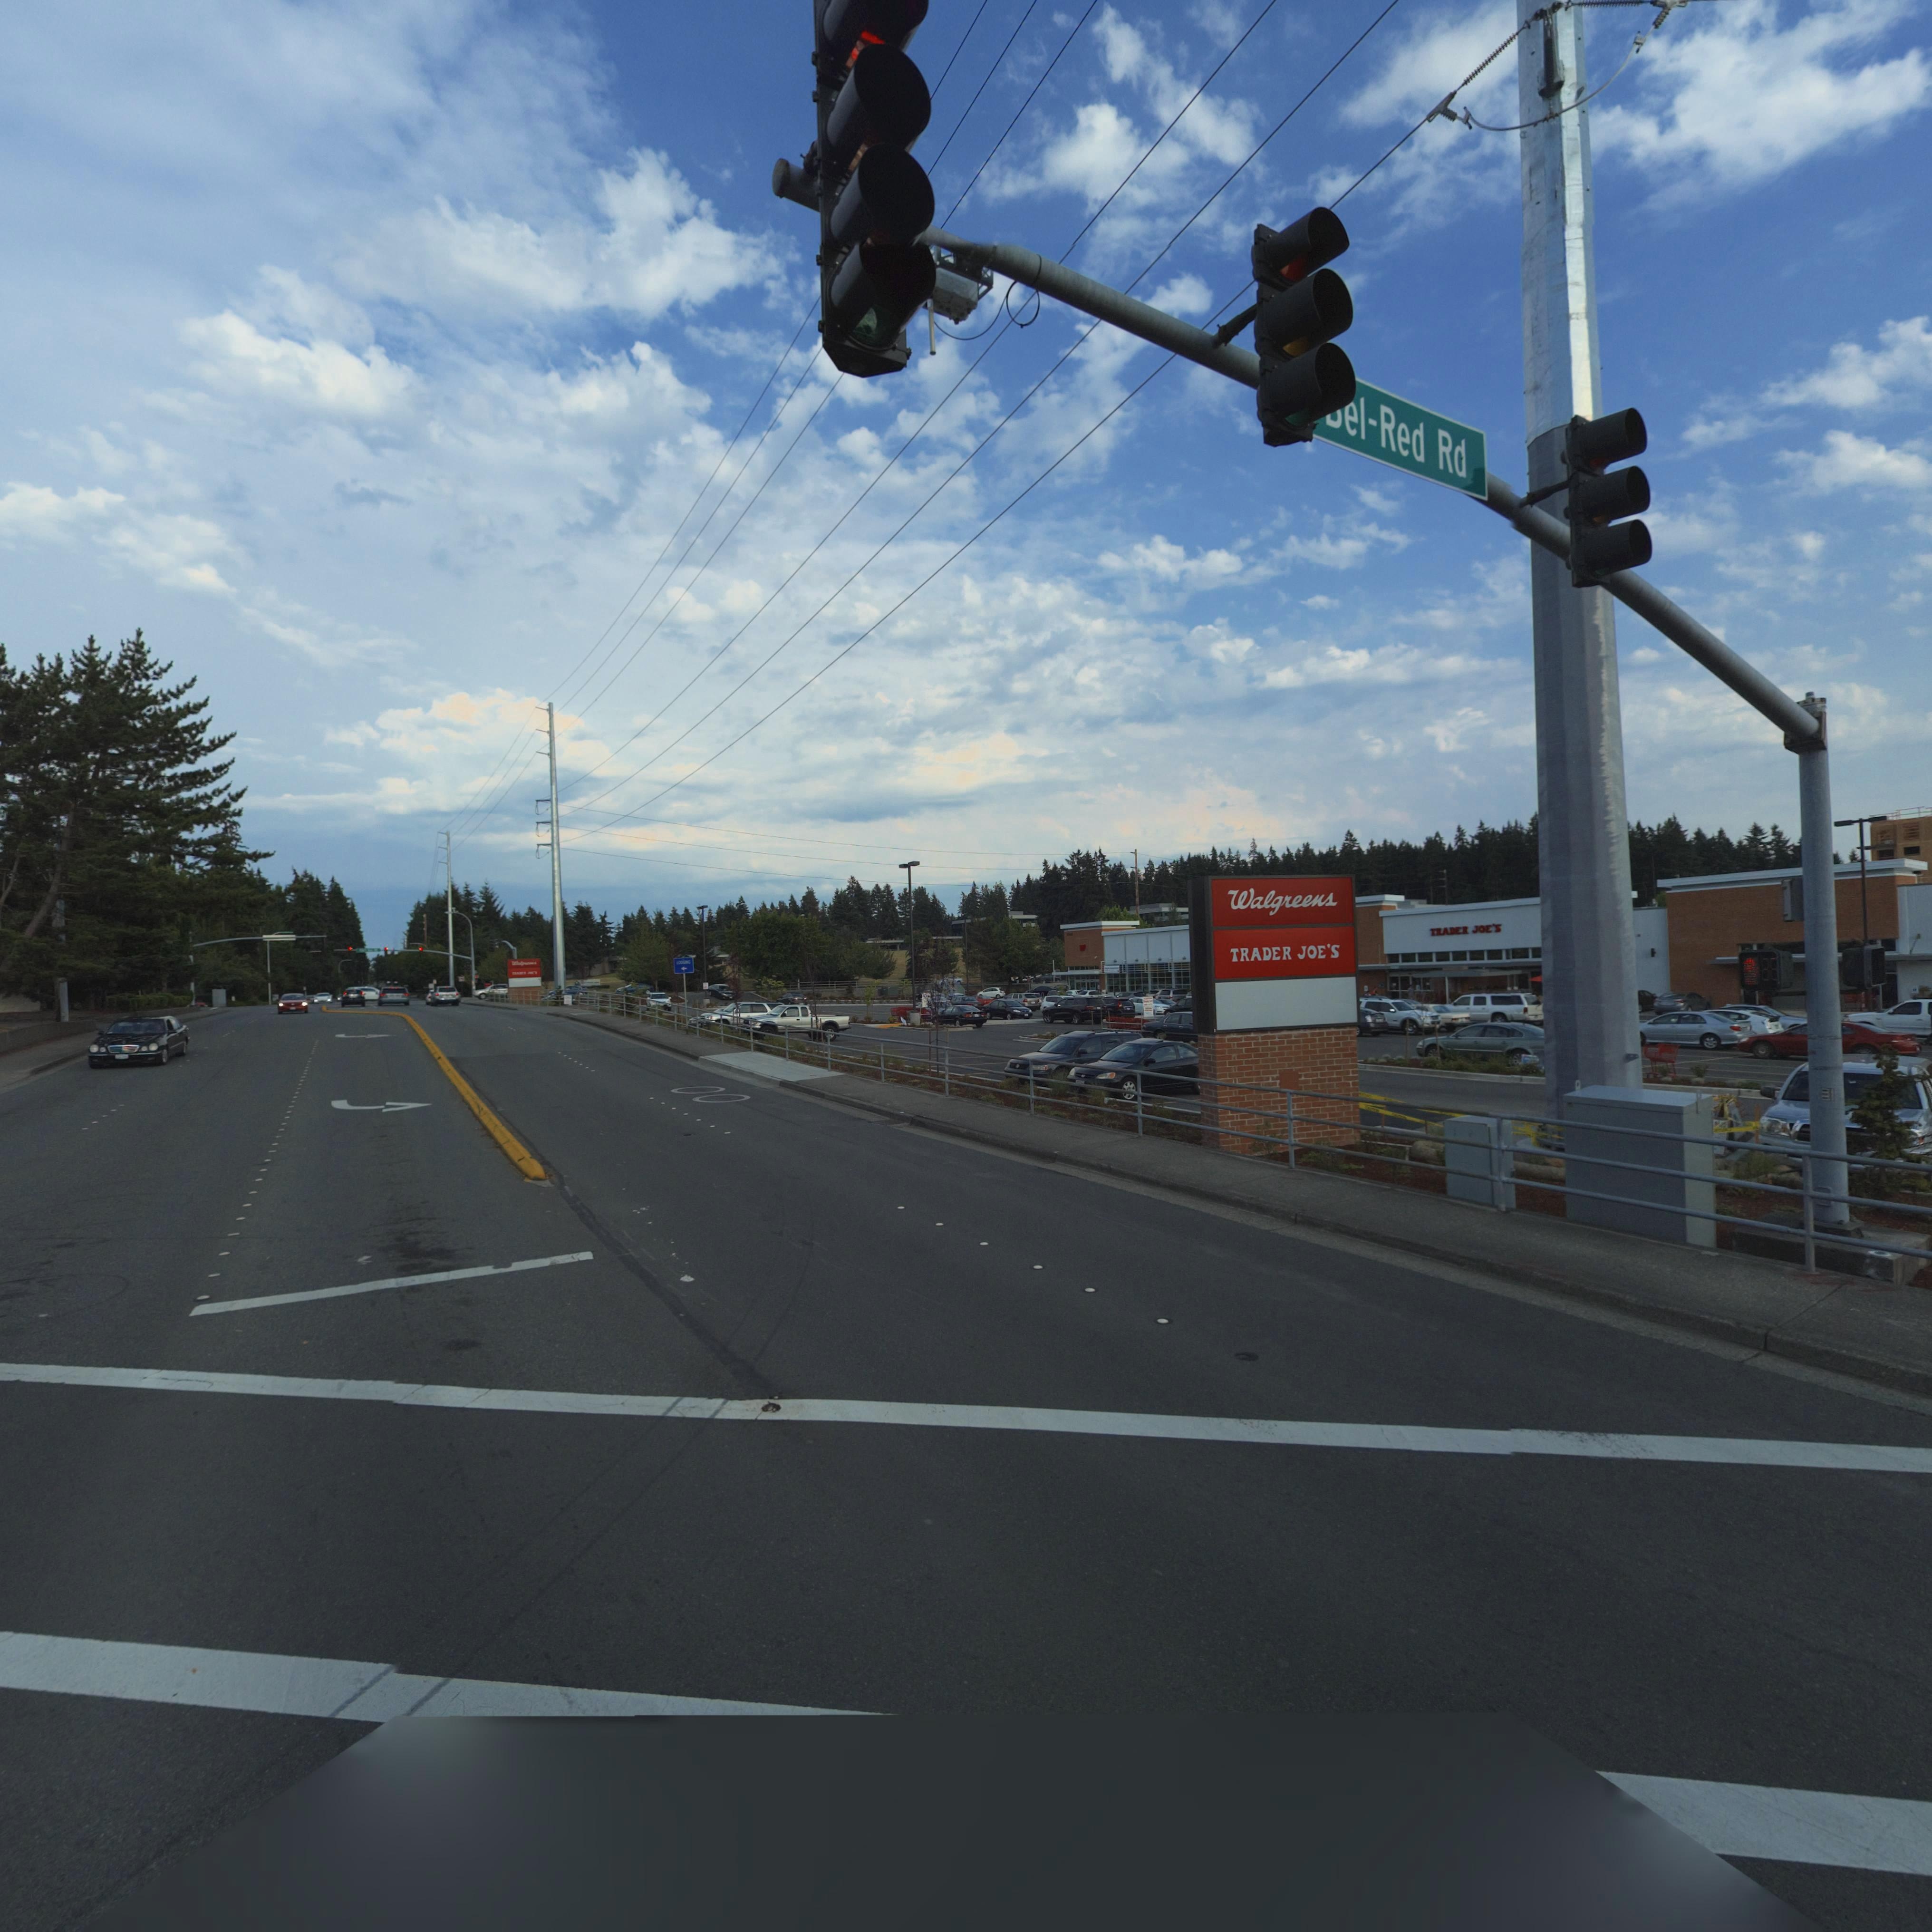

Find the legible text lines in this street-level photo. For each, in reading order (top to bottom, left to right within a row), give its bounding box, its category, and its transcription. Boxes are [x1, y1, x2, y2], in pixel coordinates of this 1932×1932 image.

[1323, 381, 1467, 479] StreetName: *el-Red Rd
[1227, 888, 1337, 916] BusinessName: Walgreens
[1430, 923, 1502, 936] BusinessName: TRADER JOE'S
[1230, 944, 1340, 961] BusinessName: TRADER JOES